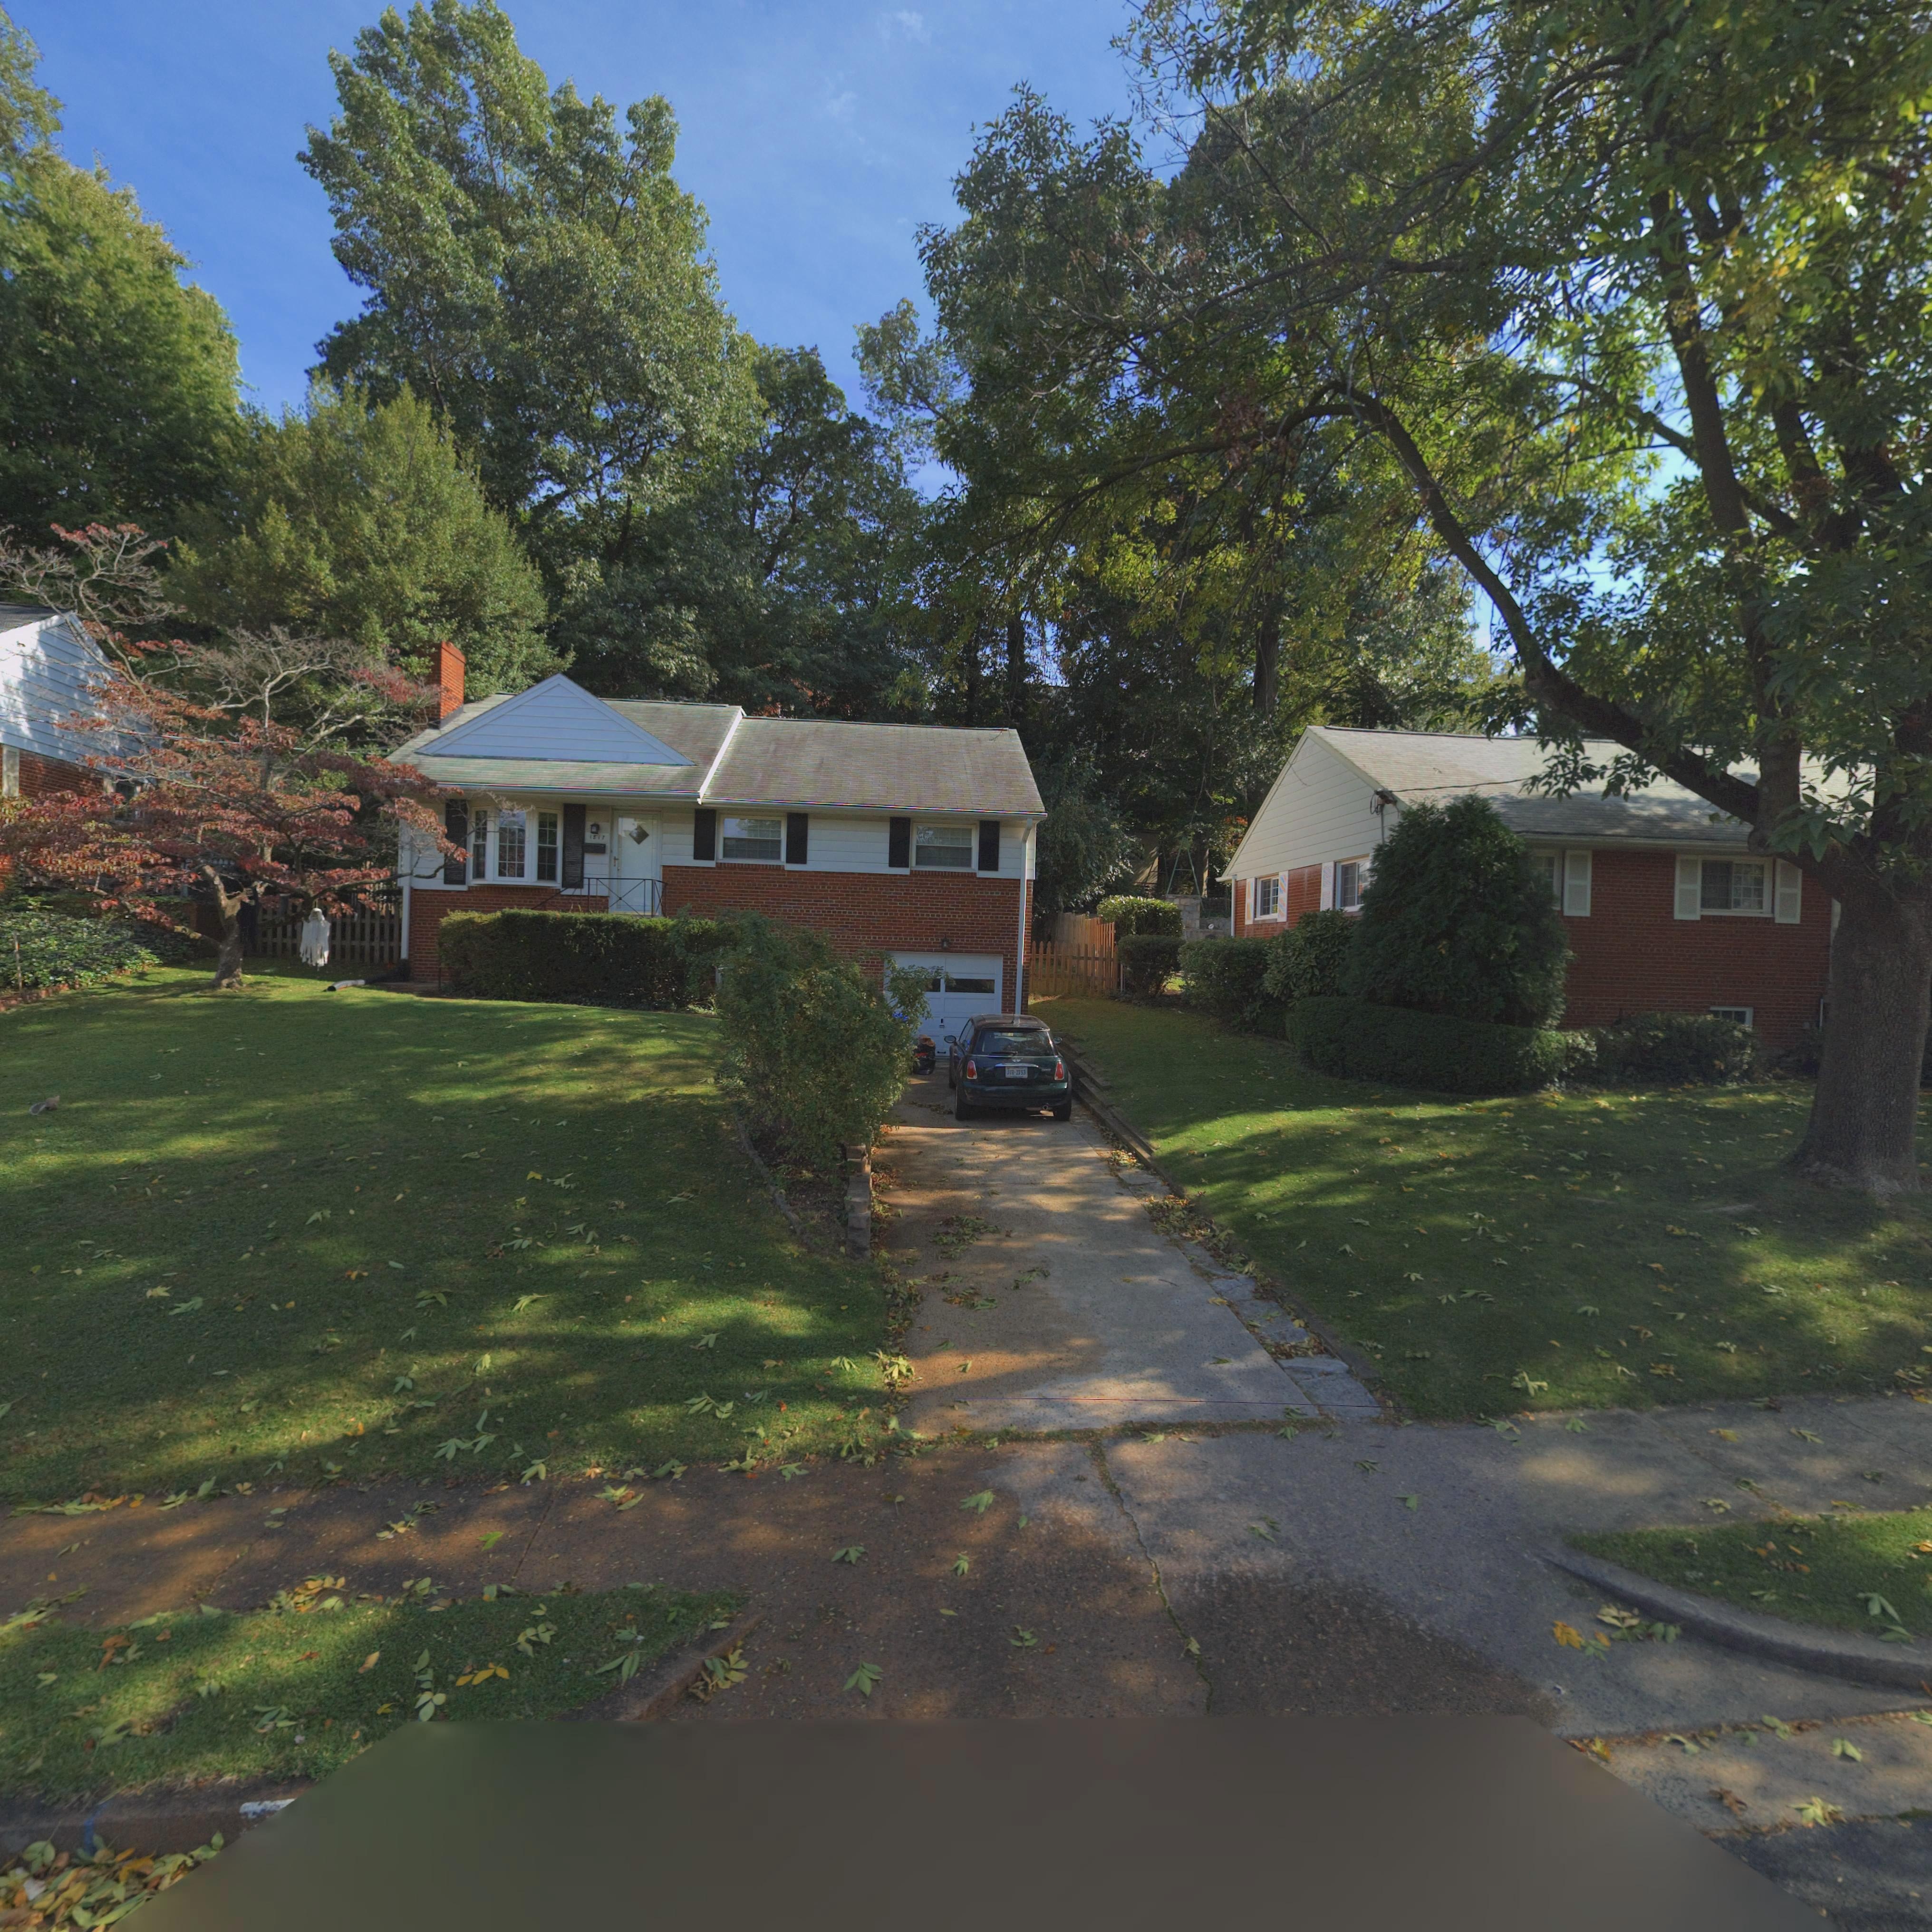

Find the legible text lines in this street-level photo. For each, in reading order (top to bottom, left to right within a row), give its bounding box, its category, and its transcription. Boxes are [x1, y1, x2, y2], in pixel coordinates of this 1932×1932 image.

[589, 833, 606, 840] StreetNumber: 1517
[1006, 1069, 1026, 1075] None: JOR-2753
[1042, 1068, 1052, 1072] None: COOPER